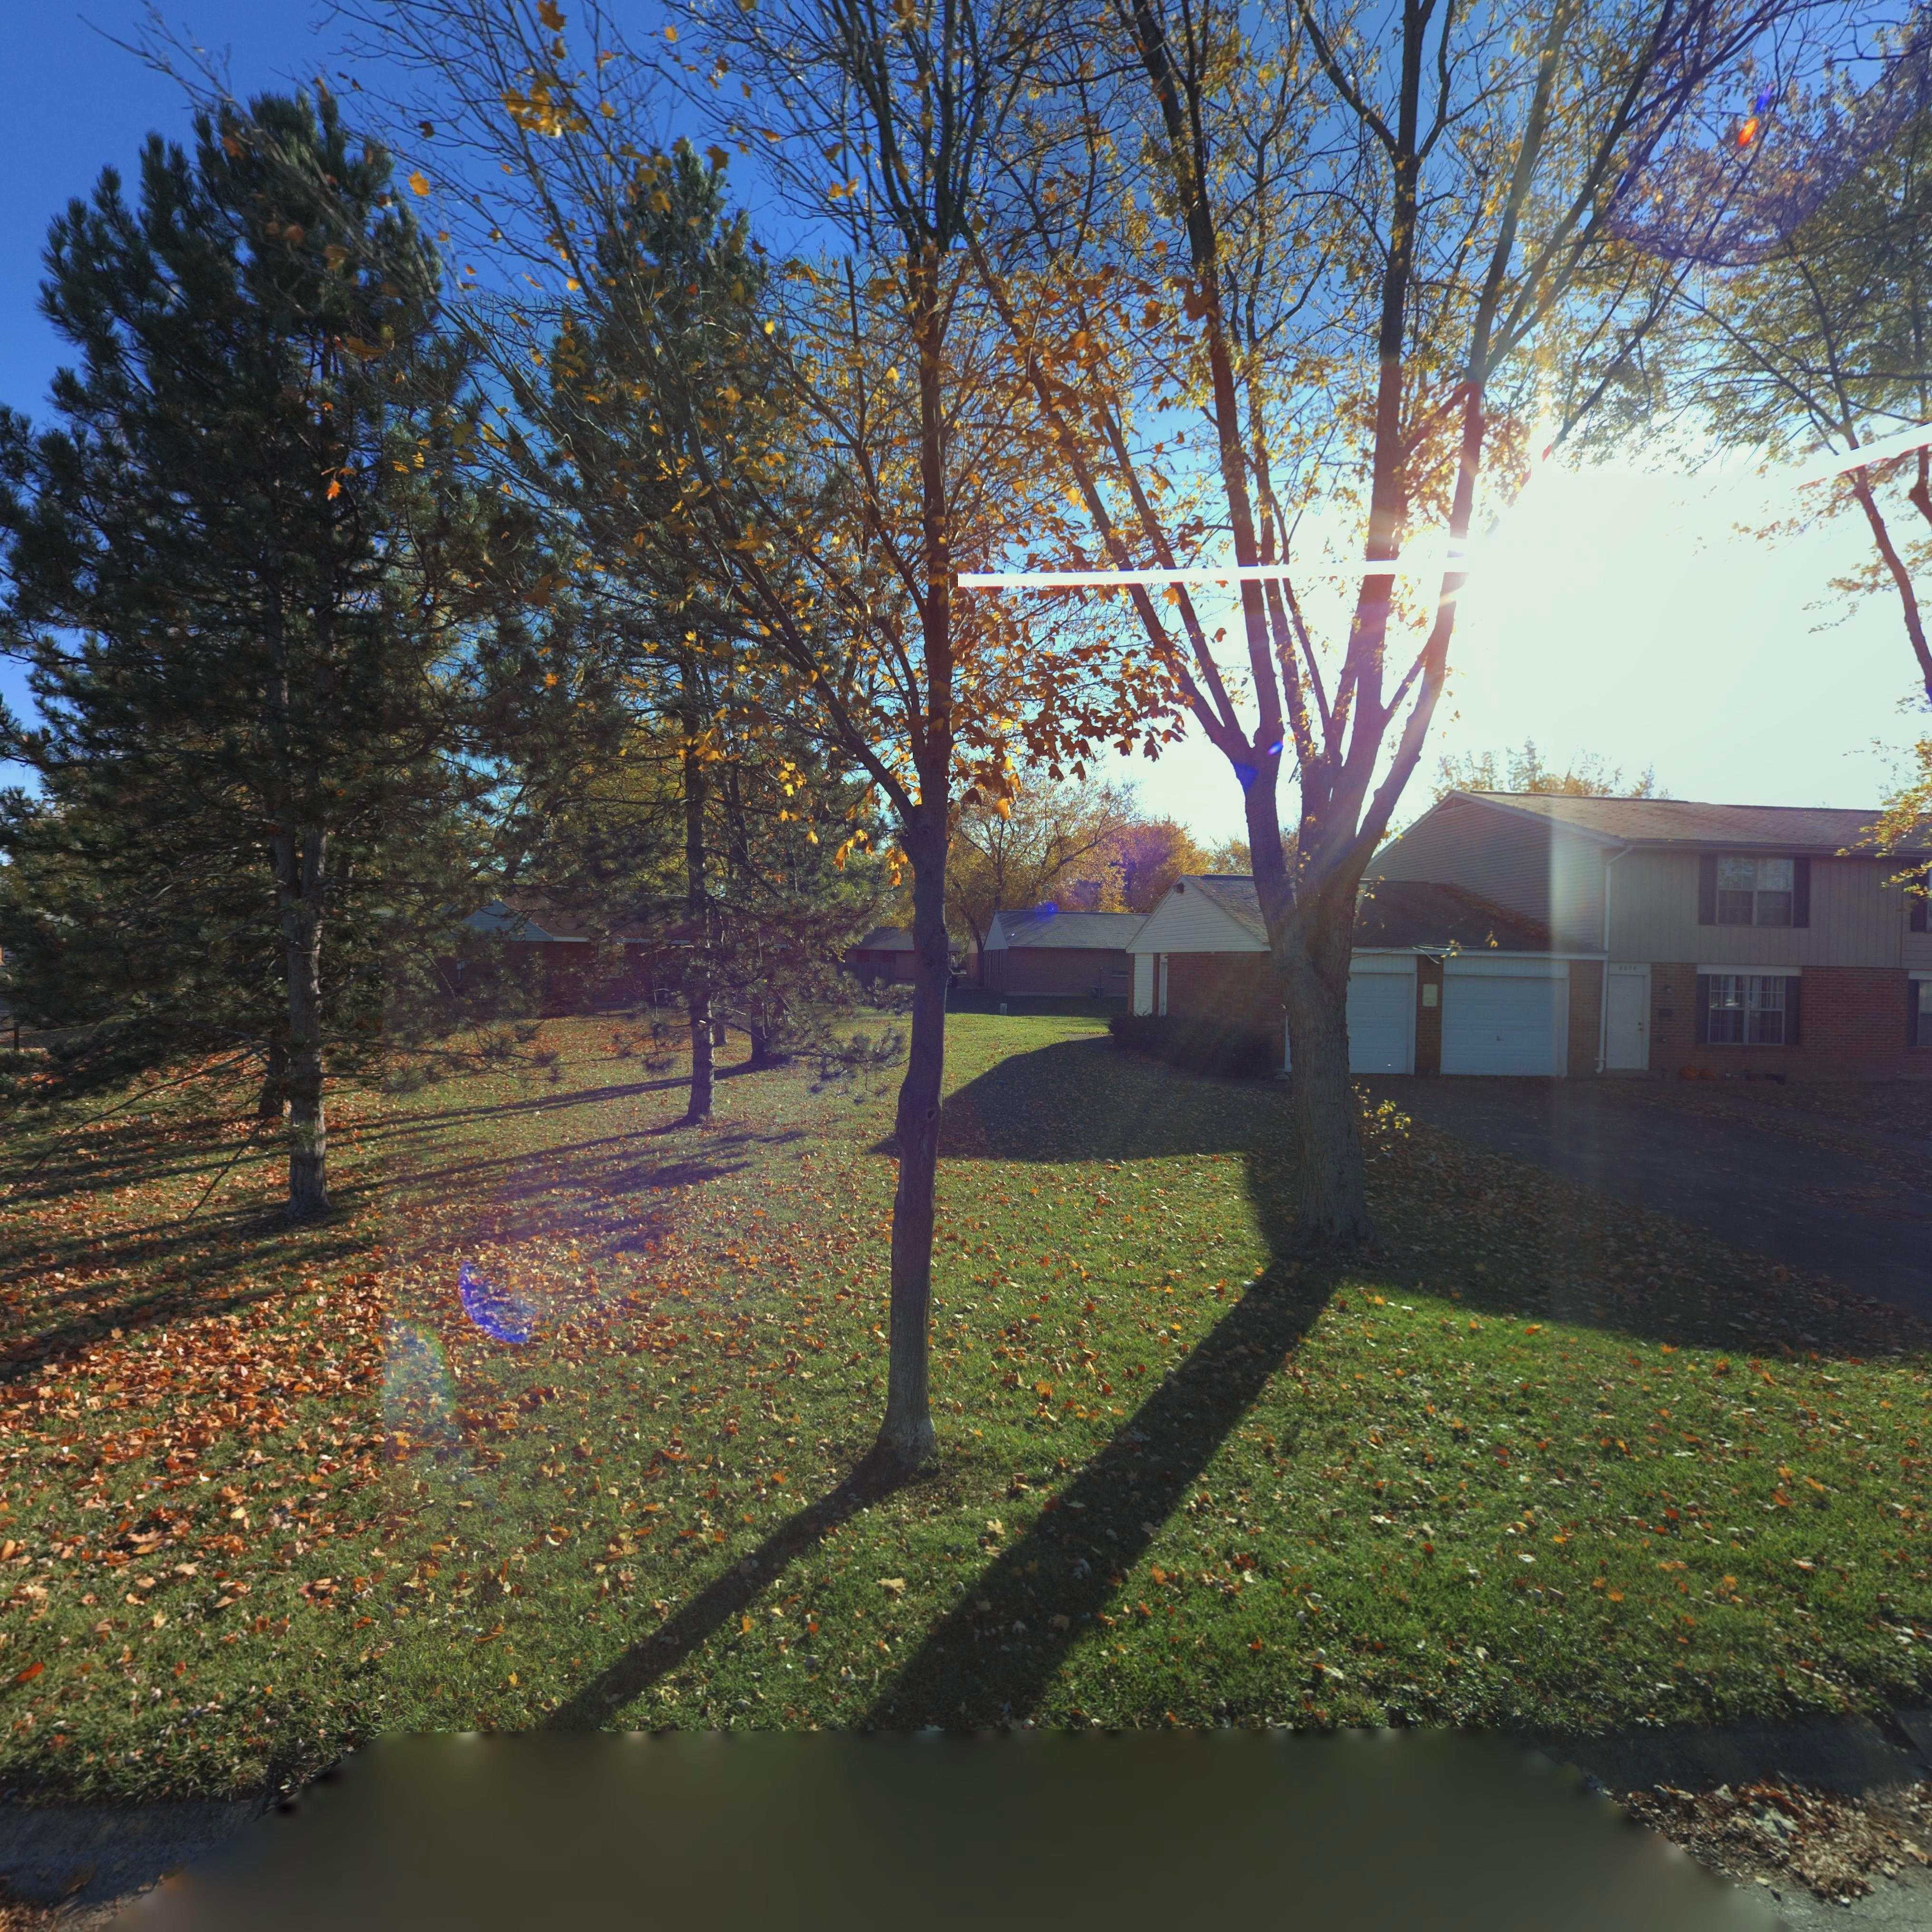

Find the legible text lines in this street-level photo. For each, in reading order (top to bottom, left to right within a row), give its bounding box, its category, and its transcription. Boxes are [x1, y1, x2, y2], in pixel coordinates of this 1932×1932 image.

[1618, 966, 1637, 971] StreetNumber: 80**